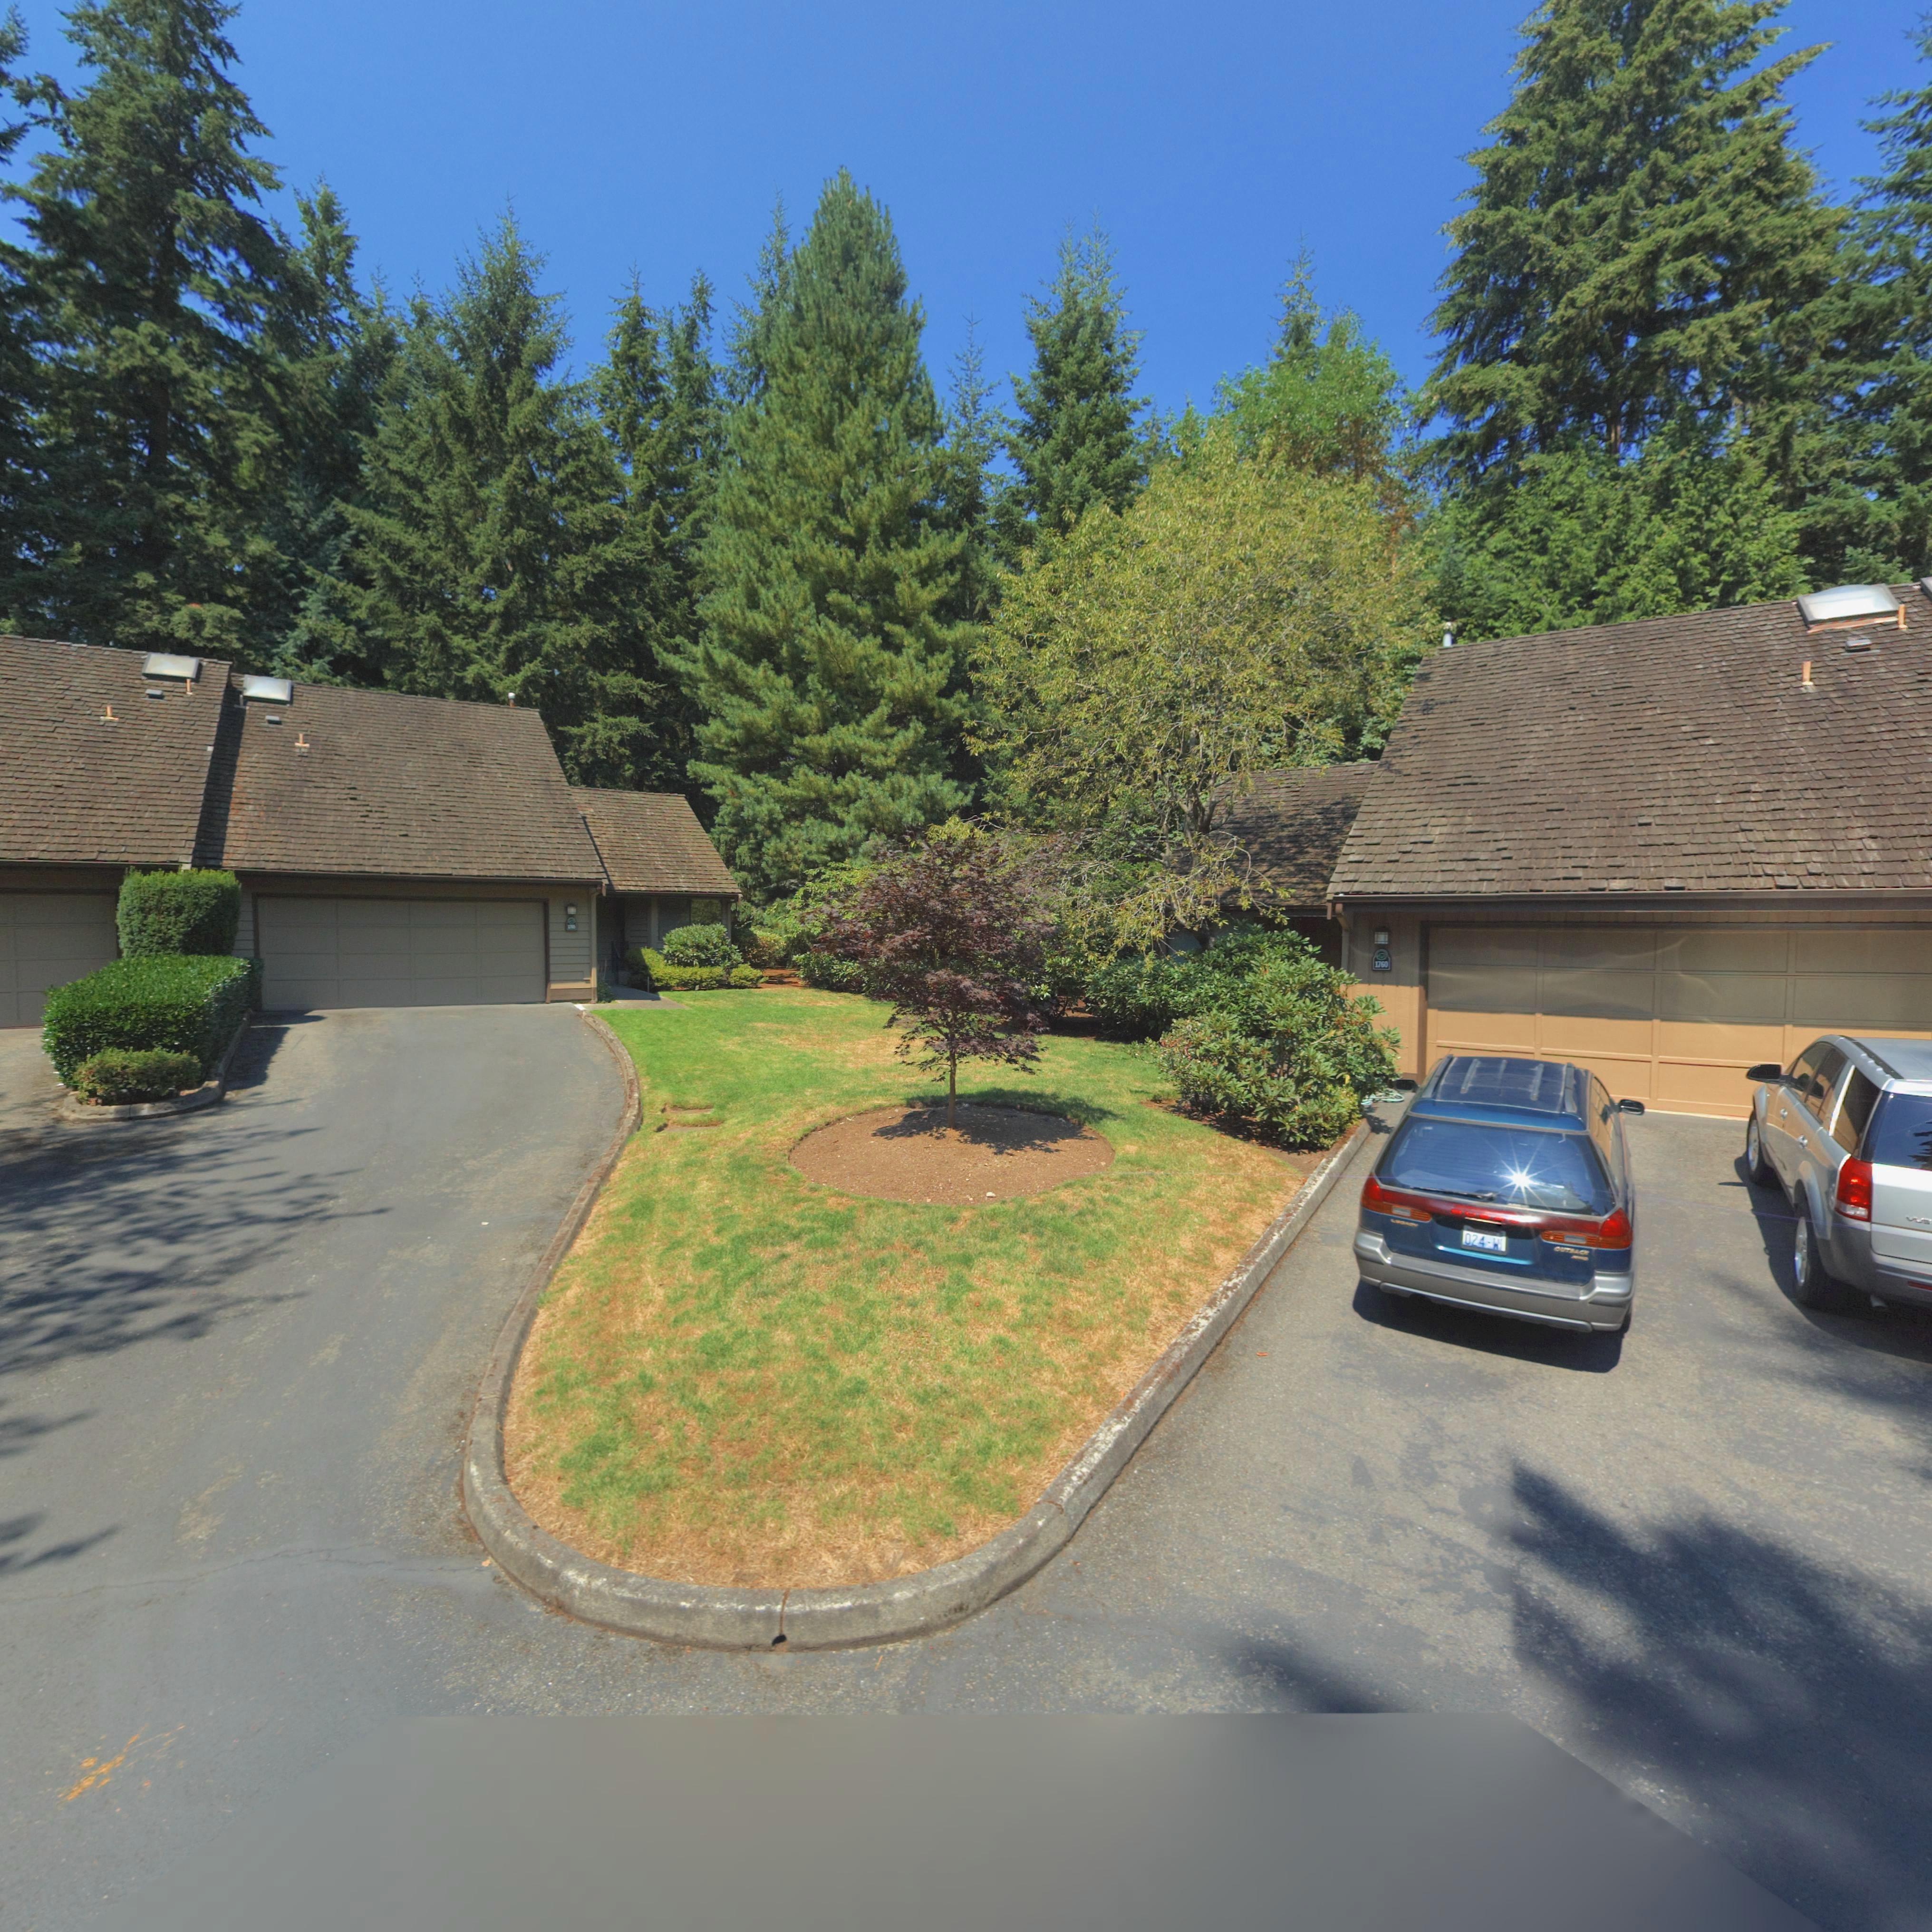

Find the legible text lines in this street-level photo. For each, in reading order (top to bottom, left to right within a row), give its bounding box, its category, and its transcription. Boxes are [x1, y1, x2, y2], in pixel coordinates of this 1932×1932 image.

[1373, 960, 1389, 968] StreetNumber: 1760